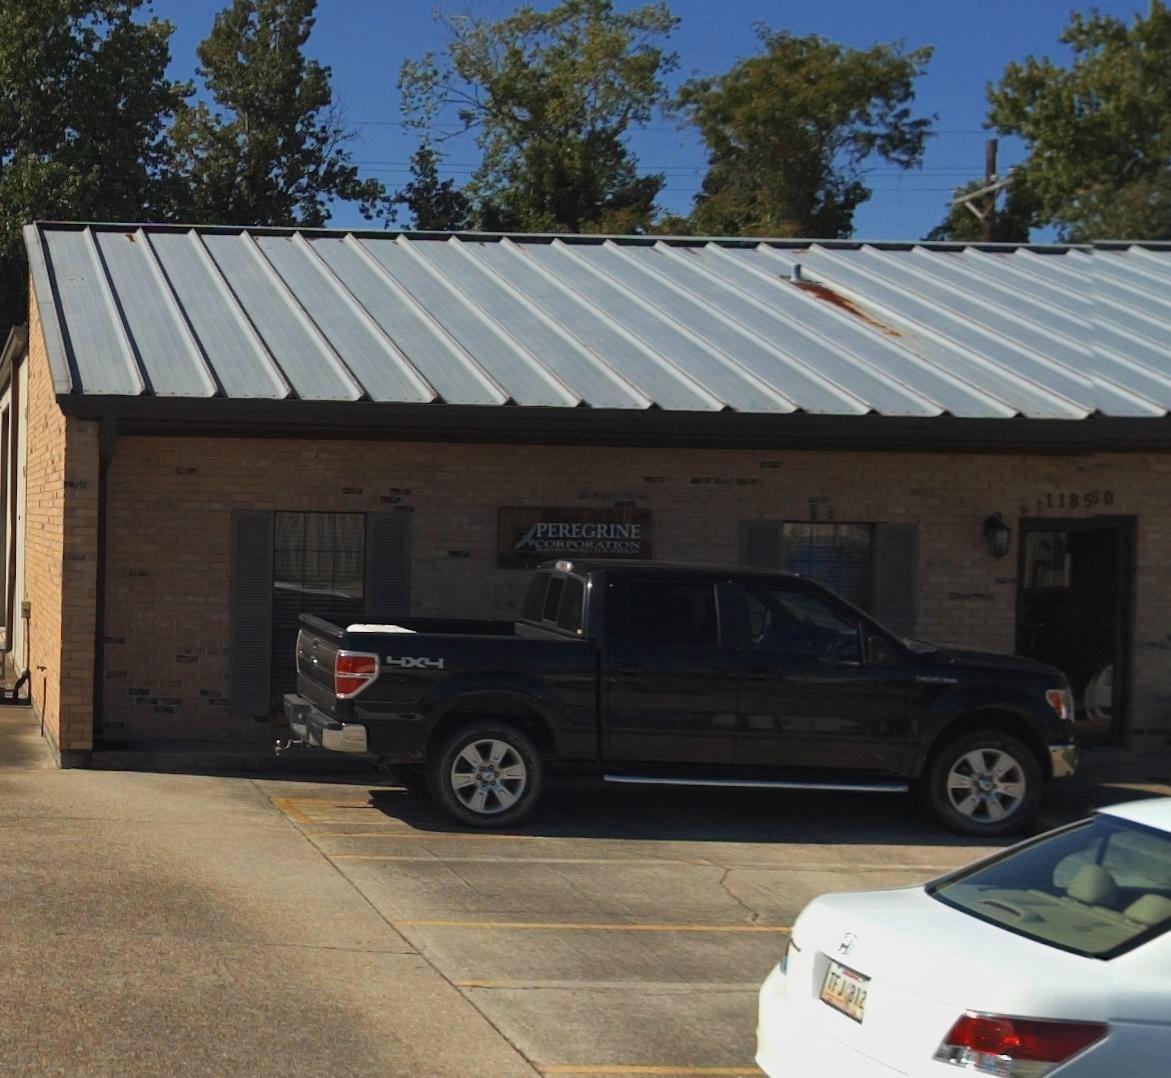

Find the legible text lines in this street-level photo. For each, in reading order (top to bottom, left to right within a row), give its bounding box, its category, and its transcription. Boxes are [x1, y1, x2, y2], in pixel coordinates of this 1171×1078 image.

[1044, 487, 1116, 512] StreetNumber: 118*0
[533, 521, 643, 541] BusinessName: PEREGRINE
[533, 537, 642, 551] BusinessName: CORPORATION
[384, 652, 447, 672] None: 4X4
[822, 968, 871, 1015] None: TFJ 812